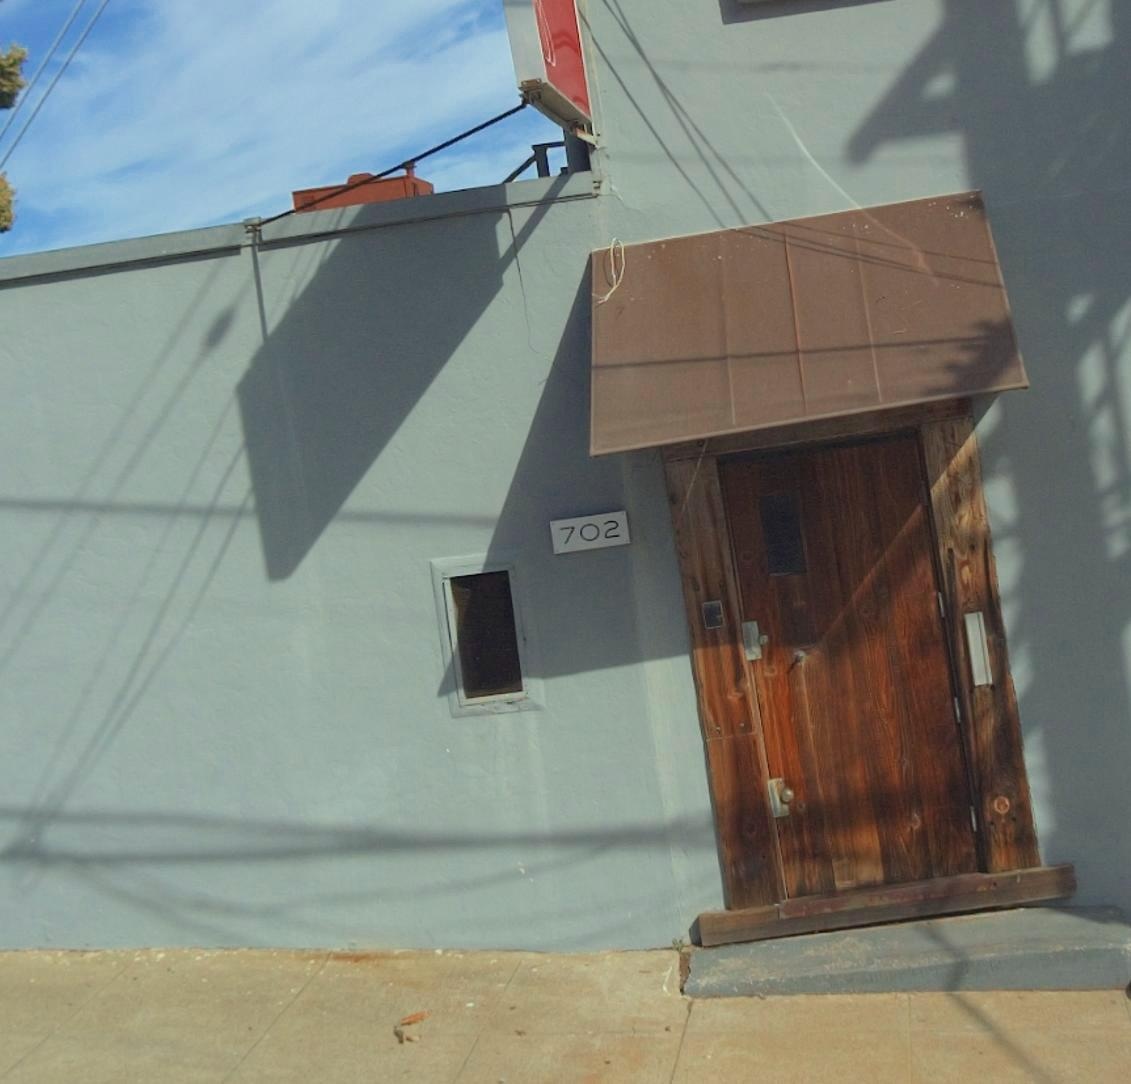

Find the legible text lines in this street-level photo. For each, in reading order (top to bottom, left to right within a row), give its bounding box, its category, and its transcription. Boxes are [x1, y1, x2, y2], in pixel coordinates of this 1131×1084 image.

[555, 516, 624, 549] StreetNumber: 702